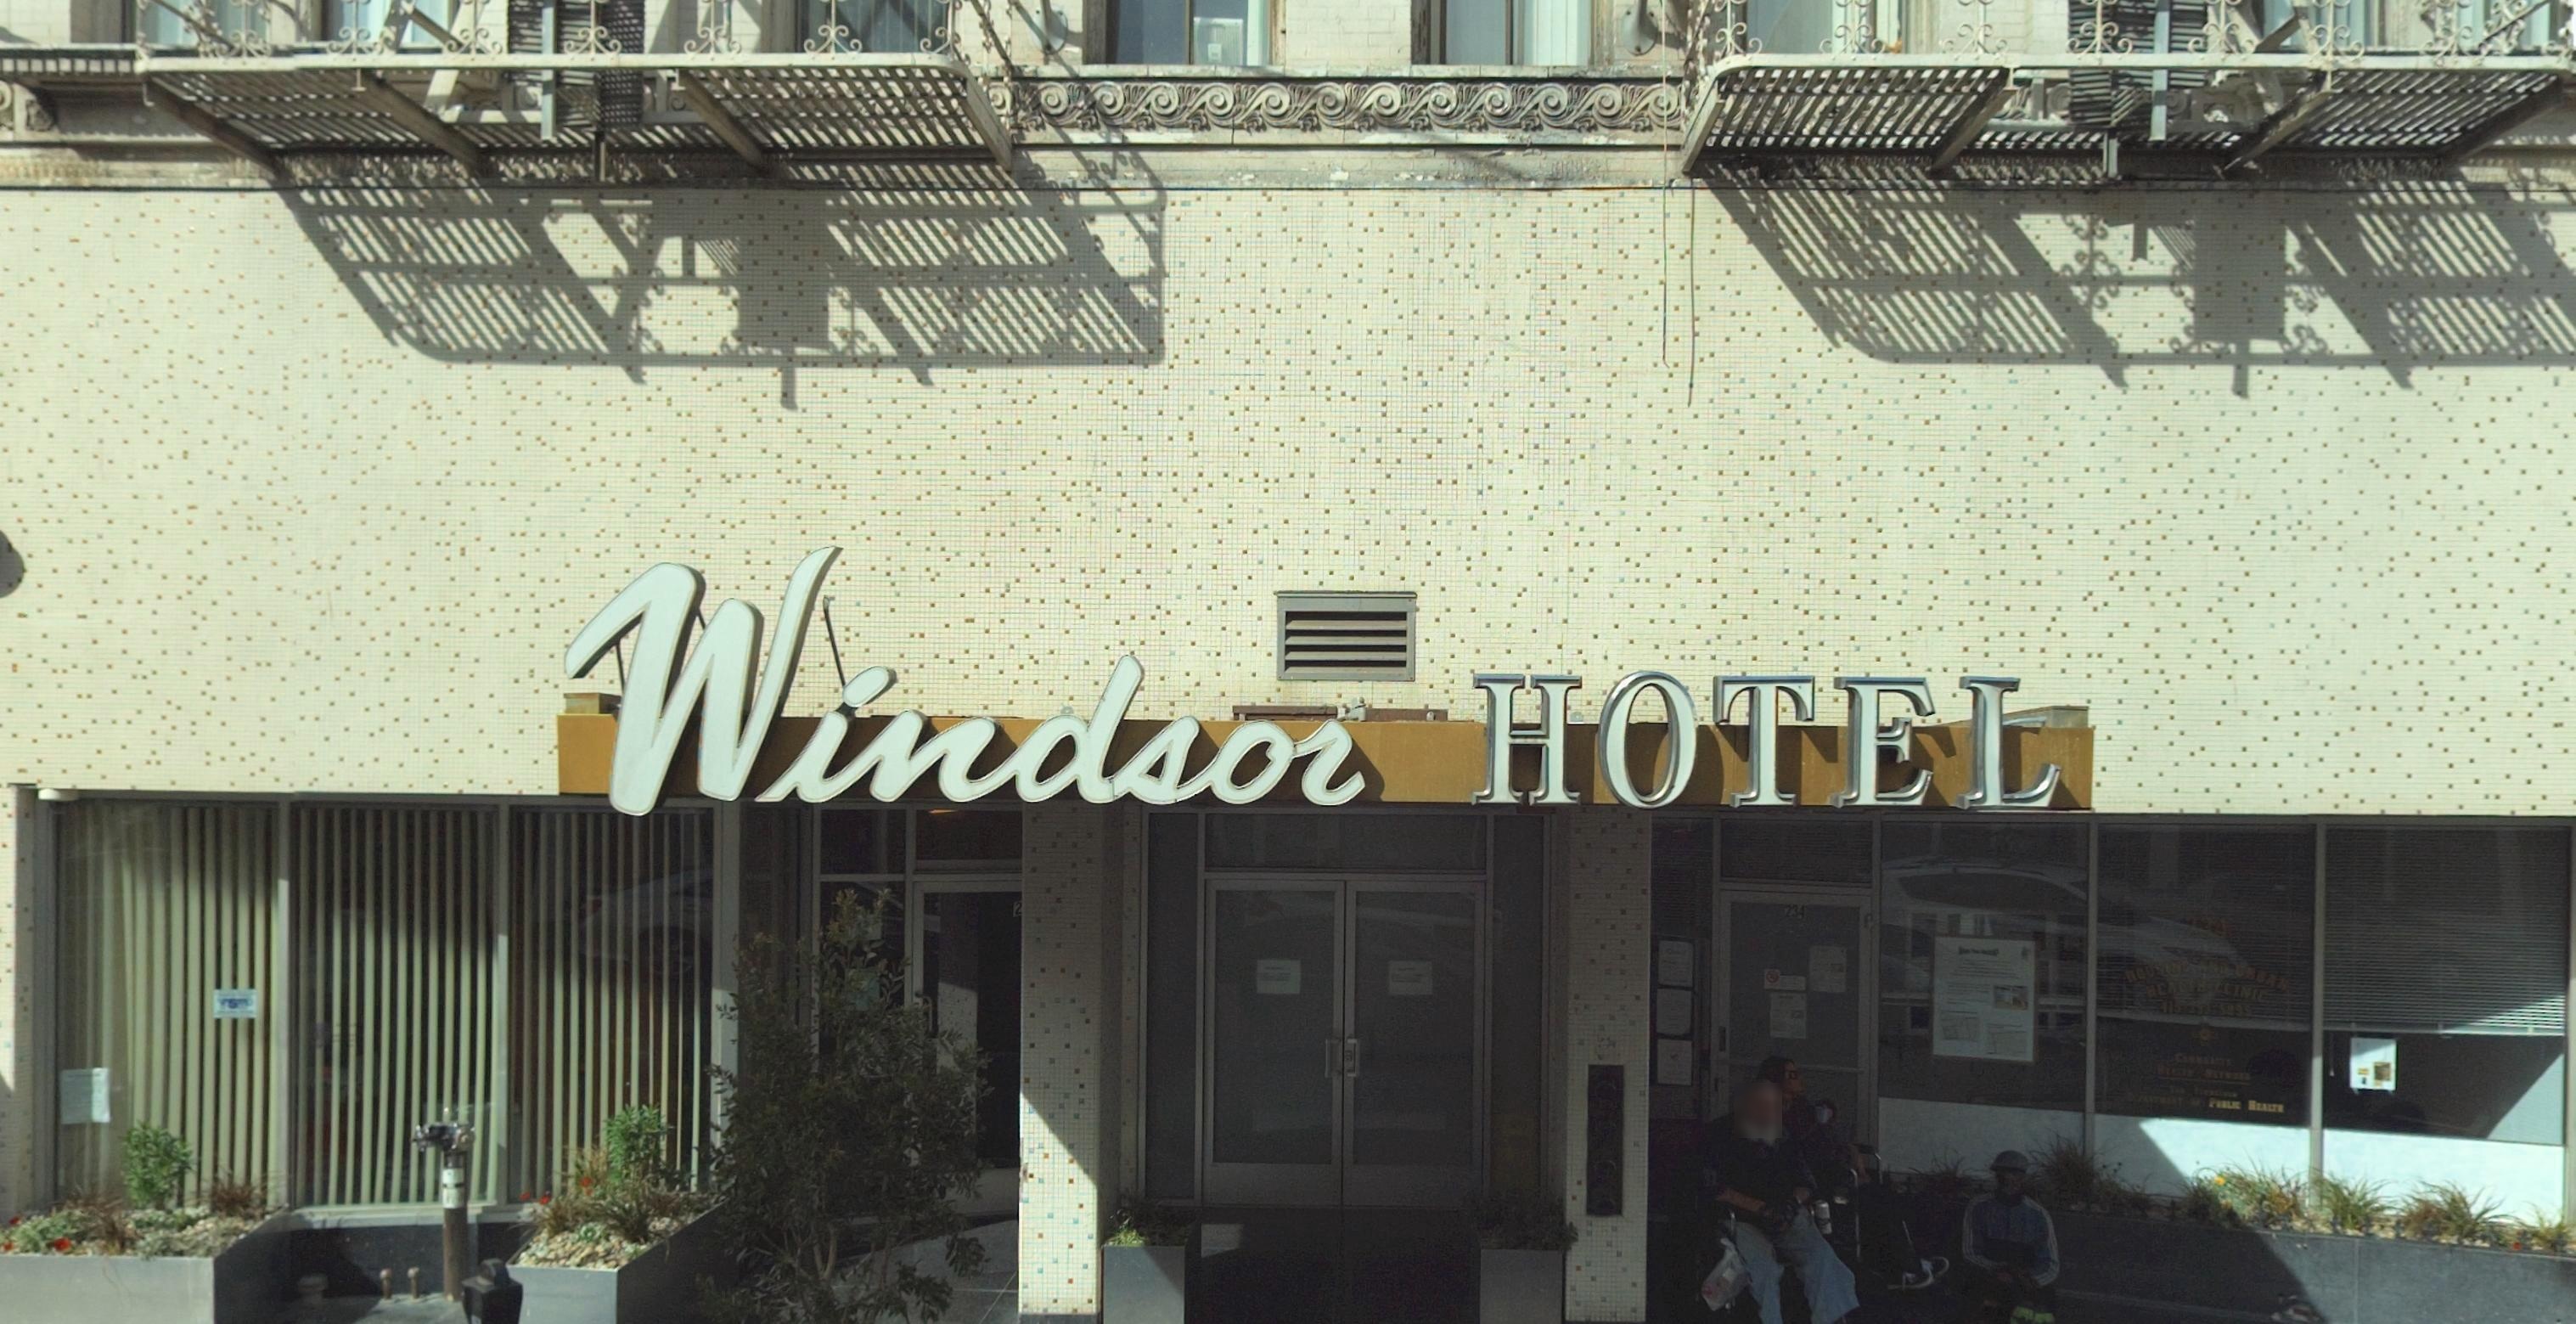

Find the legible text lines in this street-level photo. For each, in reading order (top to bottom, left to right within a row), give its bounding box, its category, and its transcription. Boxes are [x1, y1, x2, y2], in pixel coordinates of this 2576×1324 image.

[549, 540, 2067, 820] BusinessName: Windsor HOTEL